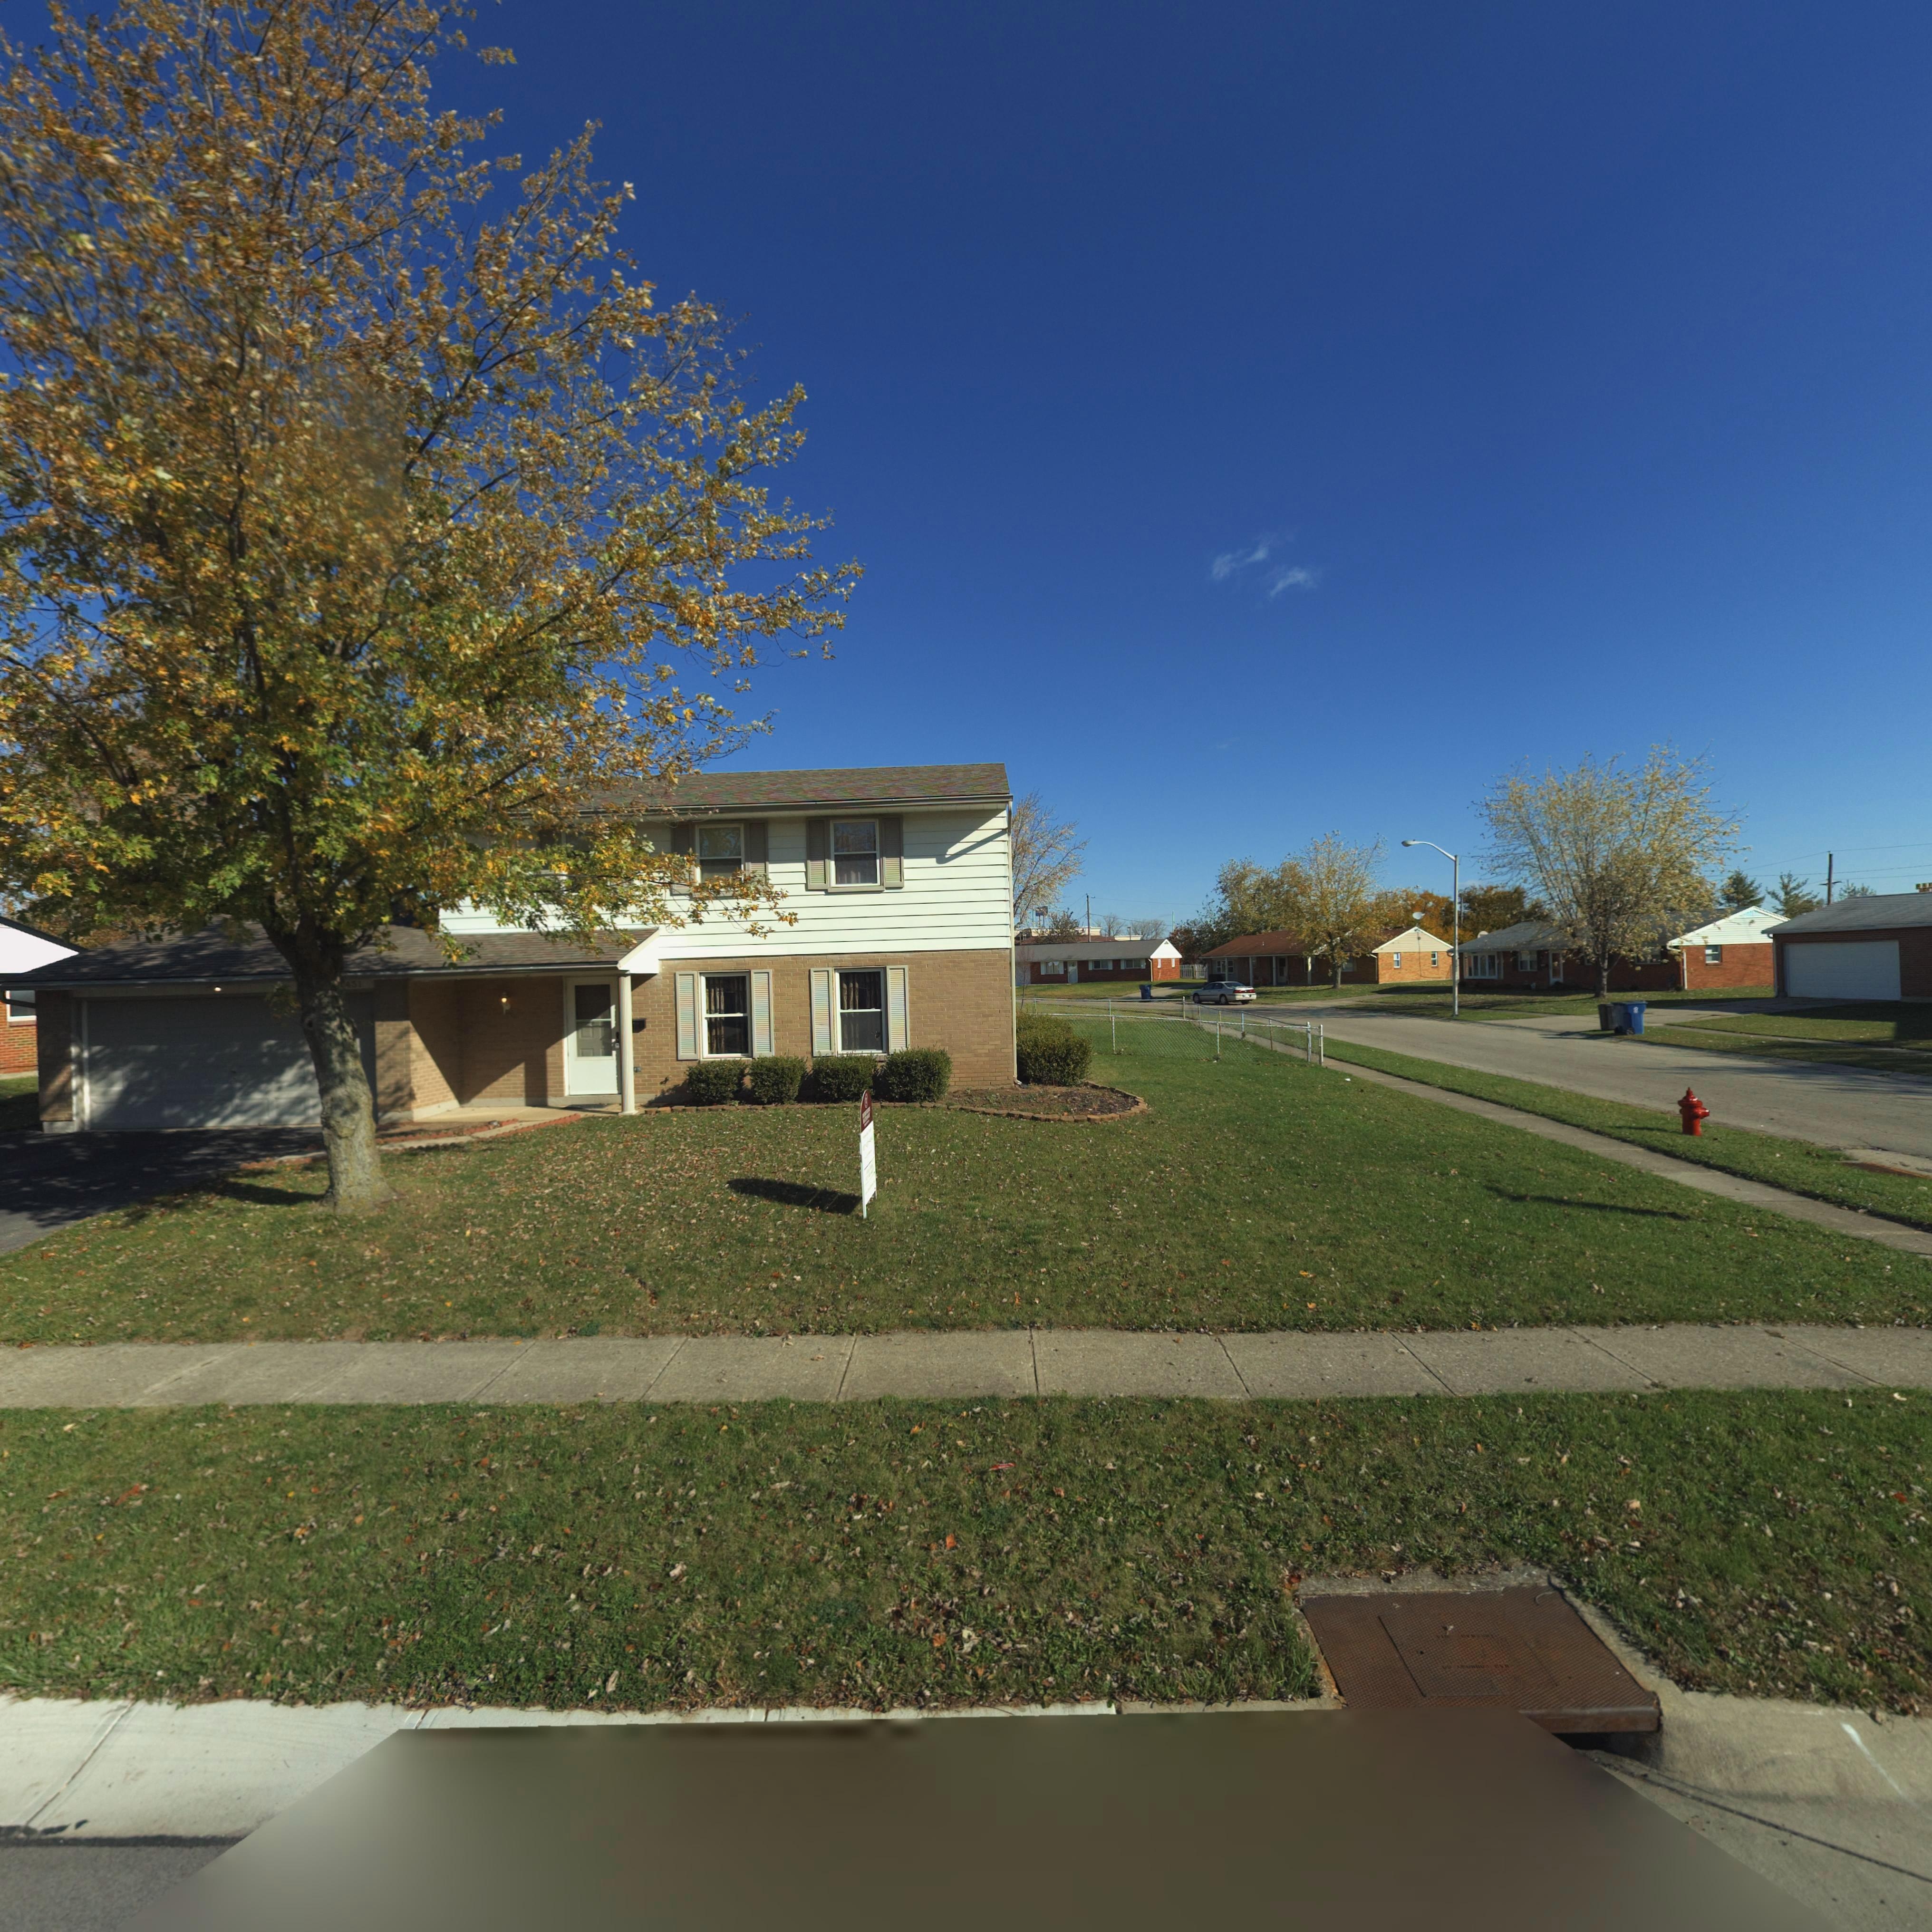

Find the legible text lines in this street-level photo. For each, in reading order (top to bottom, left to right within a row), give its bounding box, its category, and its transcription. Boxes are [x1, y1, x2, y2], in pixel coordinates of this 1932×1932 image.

[344, 979, 363, 990] StreetNumber: 4**